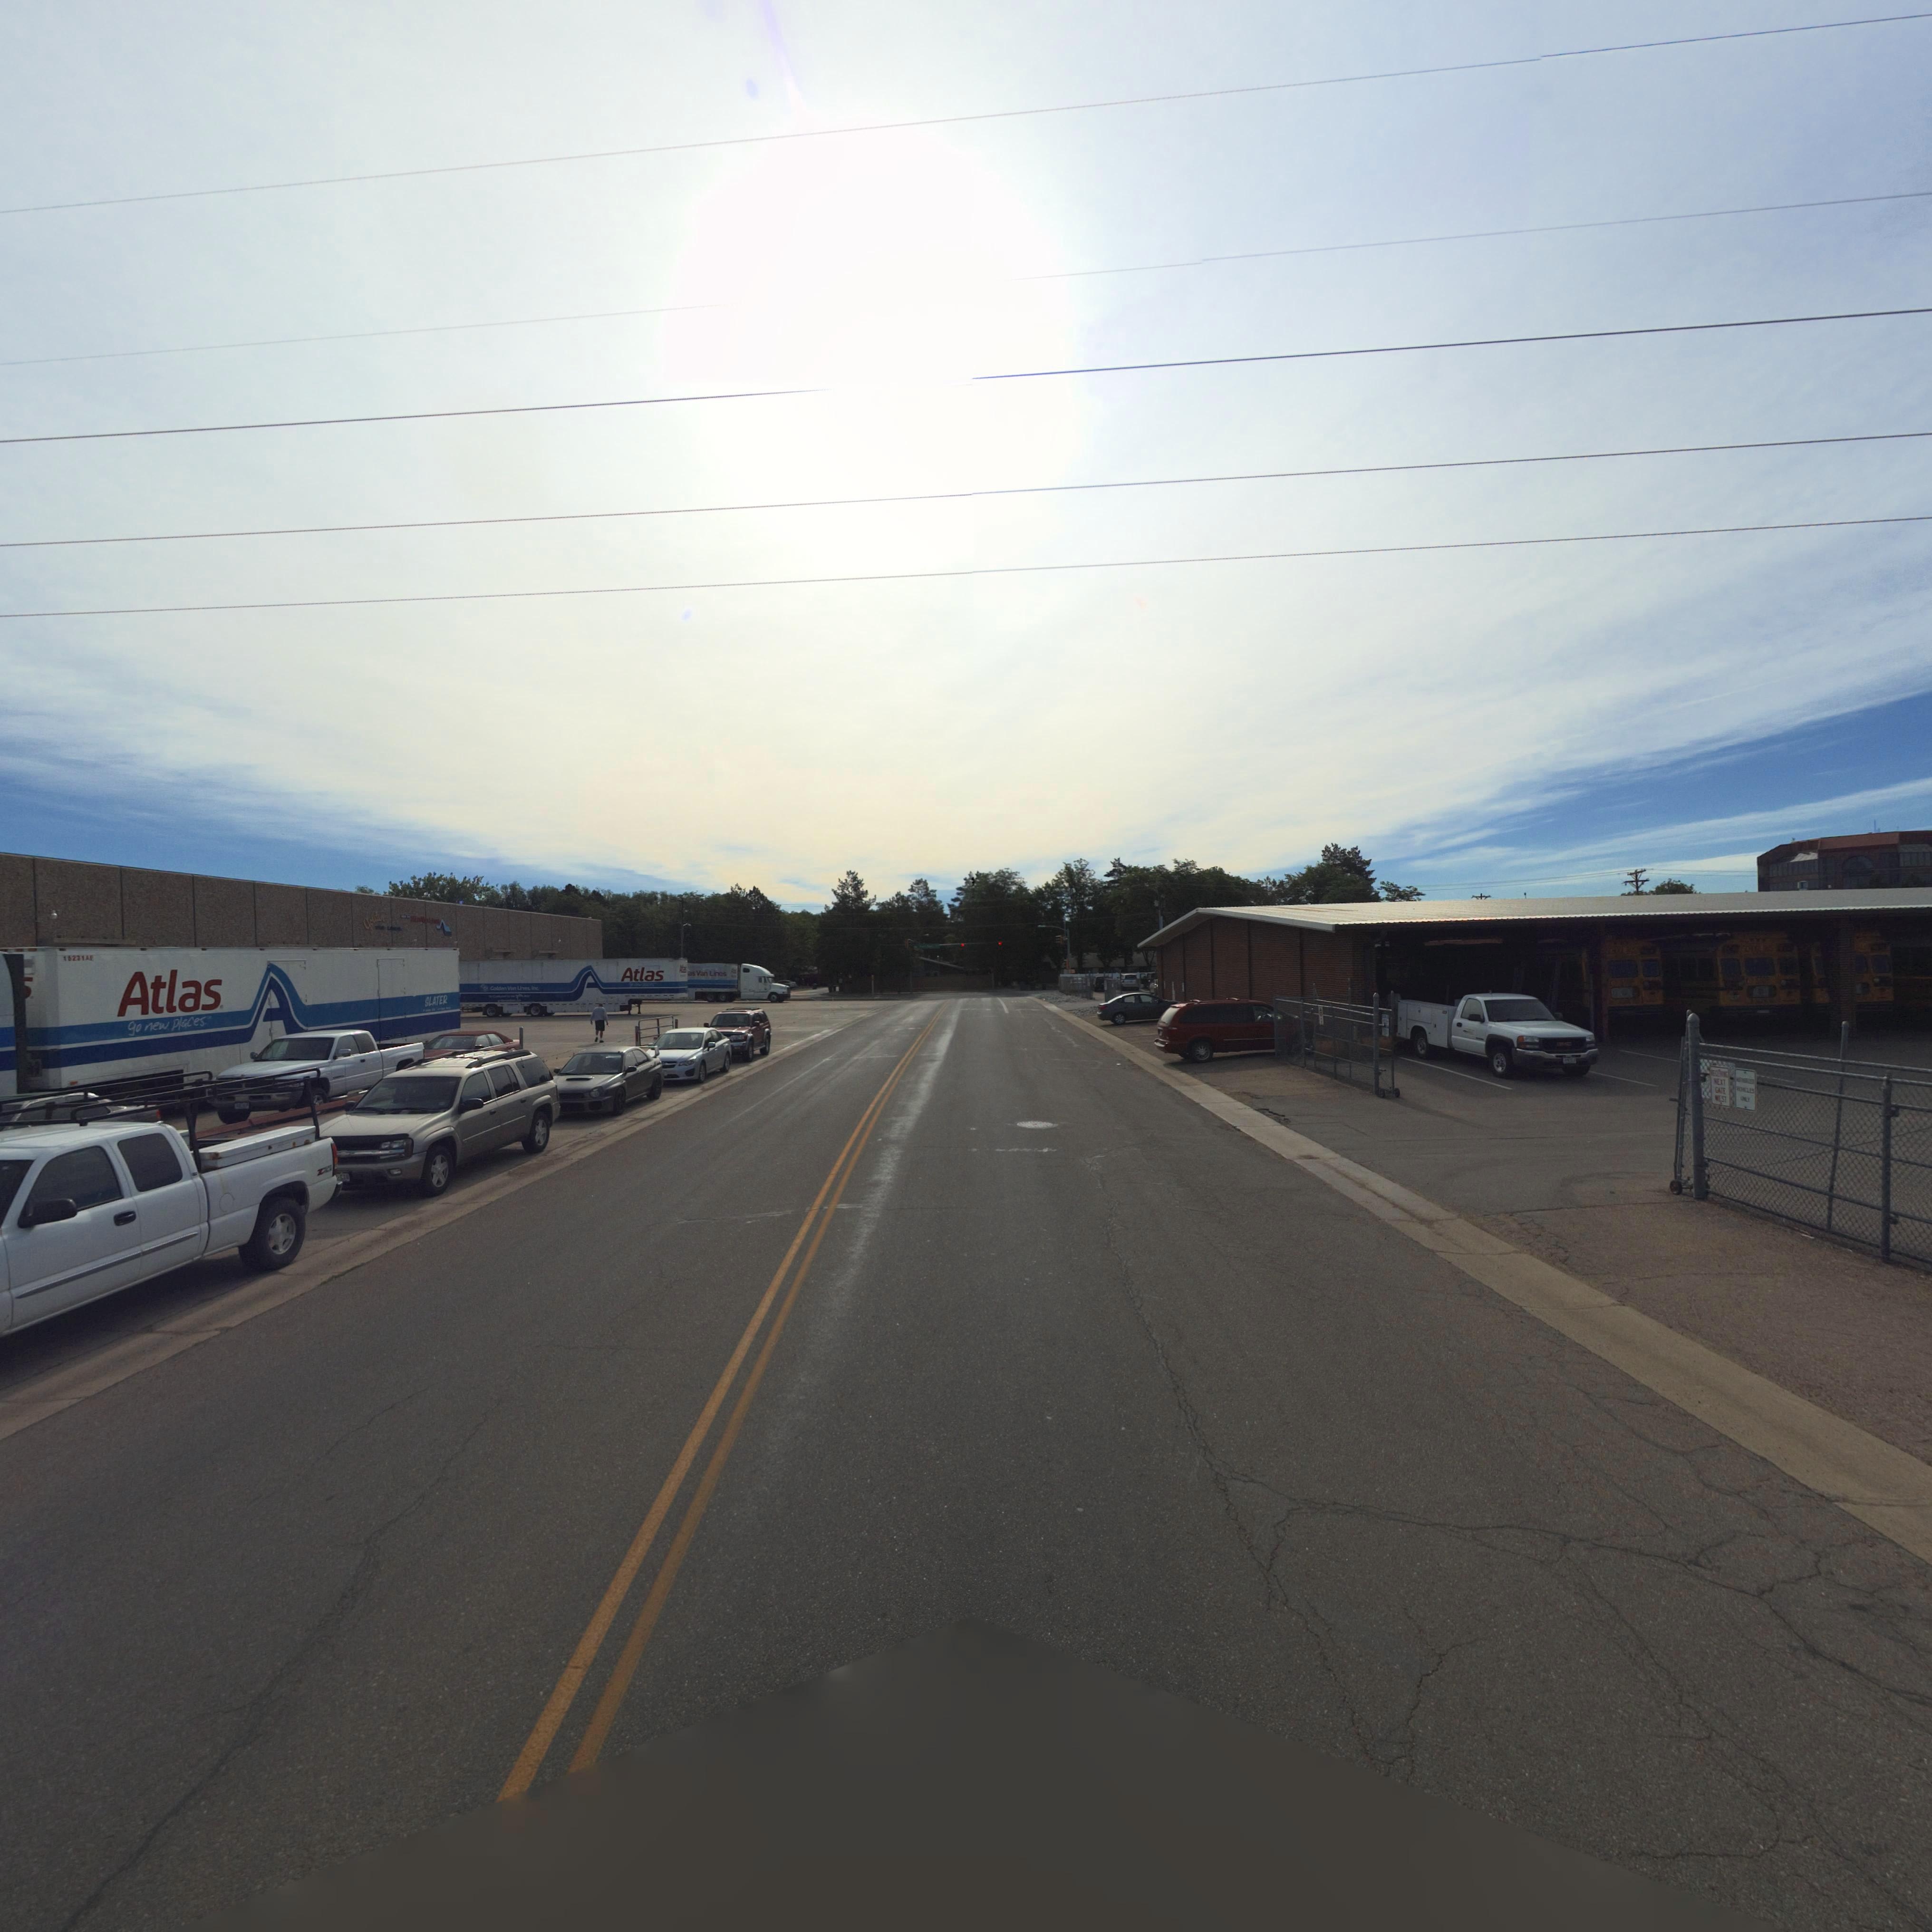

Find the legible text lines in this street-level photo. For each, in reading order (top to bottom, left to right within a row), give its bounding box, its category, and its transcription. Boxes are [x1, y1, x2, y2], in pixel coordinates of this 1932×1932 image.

[363, 911, 386, 935] BusinessName: go*den